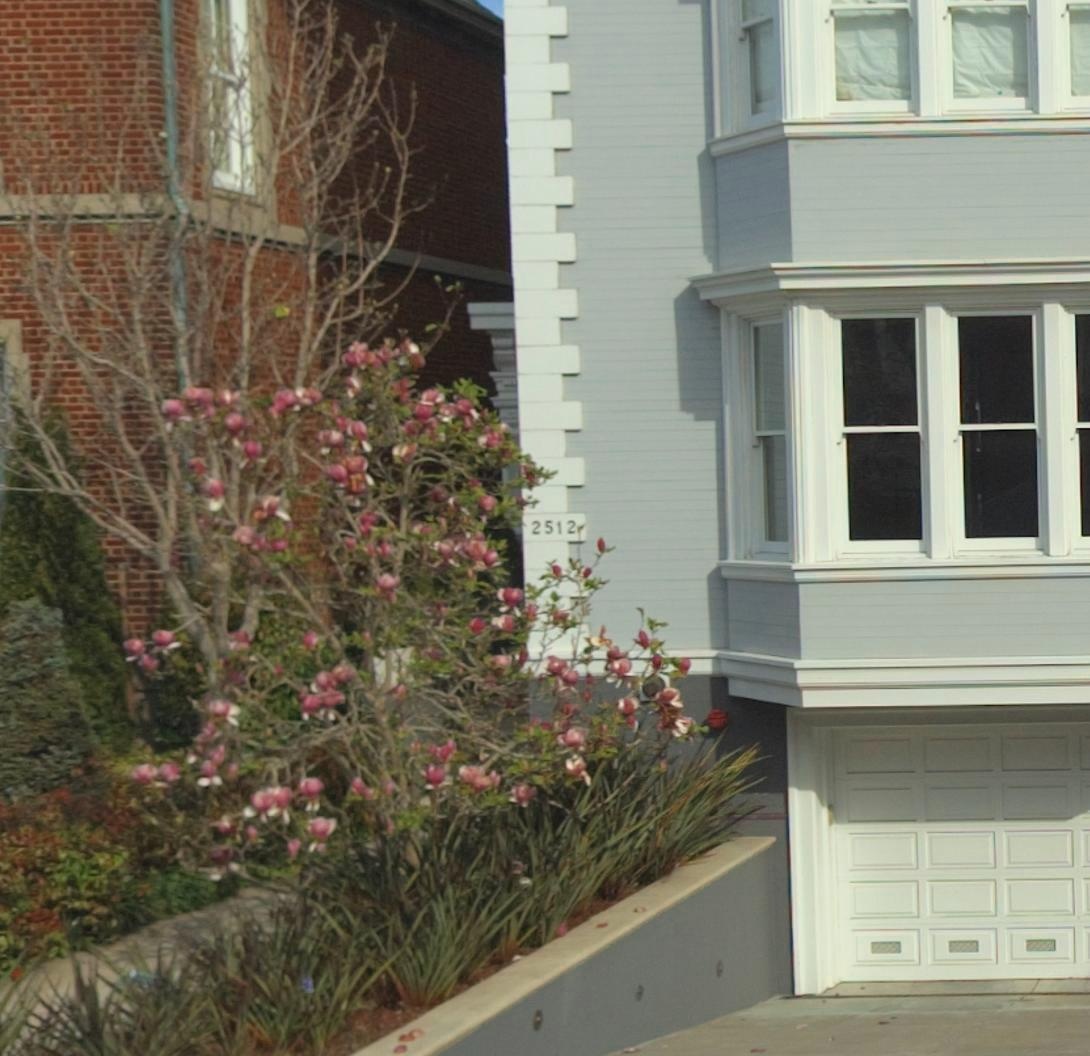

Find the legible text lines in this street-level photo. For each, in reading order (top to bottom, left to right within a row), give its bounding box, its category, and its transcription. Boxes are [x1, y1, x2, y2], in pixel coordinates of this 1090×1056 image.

[529, 517, 578, 538] StreetNumber: 2512